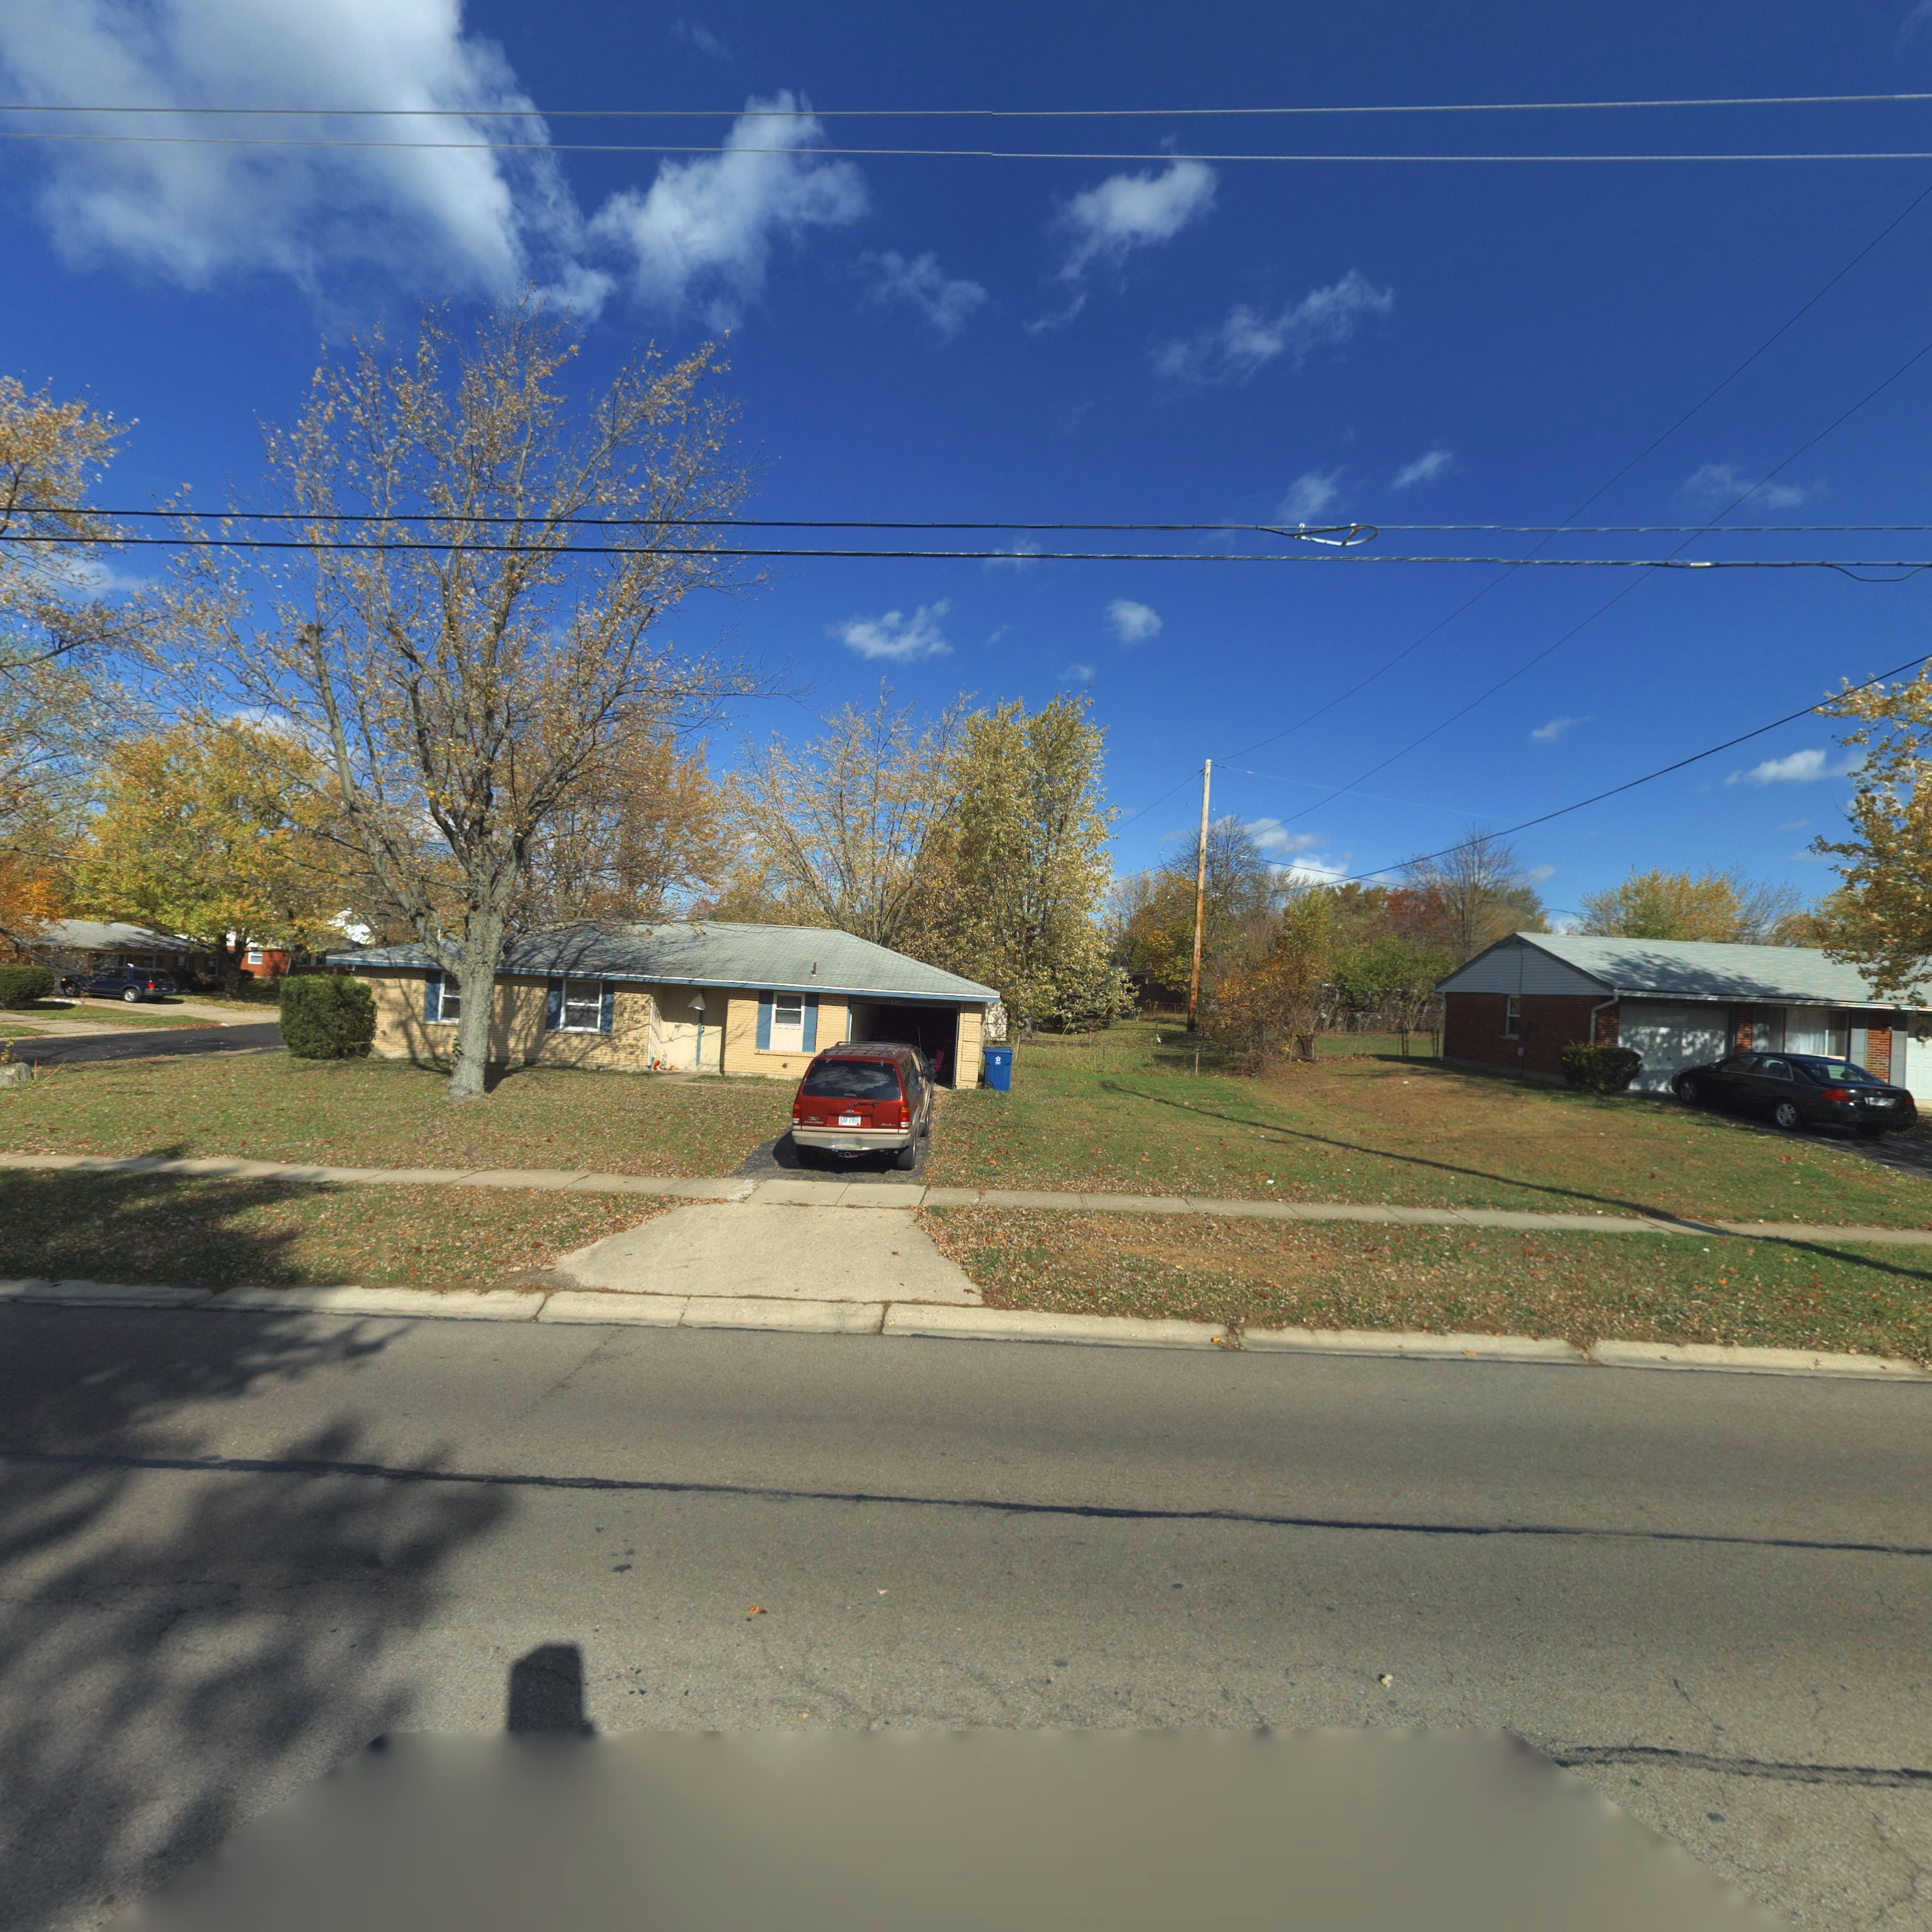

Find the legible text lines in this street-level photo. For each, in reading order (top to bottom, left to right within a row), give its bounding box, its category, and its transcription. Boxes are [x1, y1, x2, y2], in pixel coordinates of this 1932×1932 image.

[890, 999, 904, 1004] StreetNumber: 6307